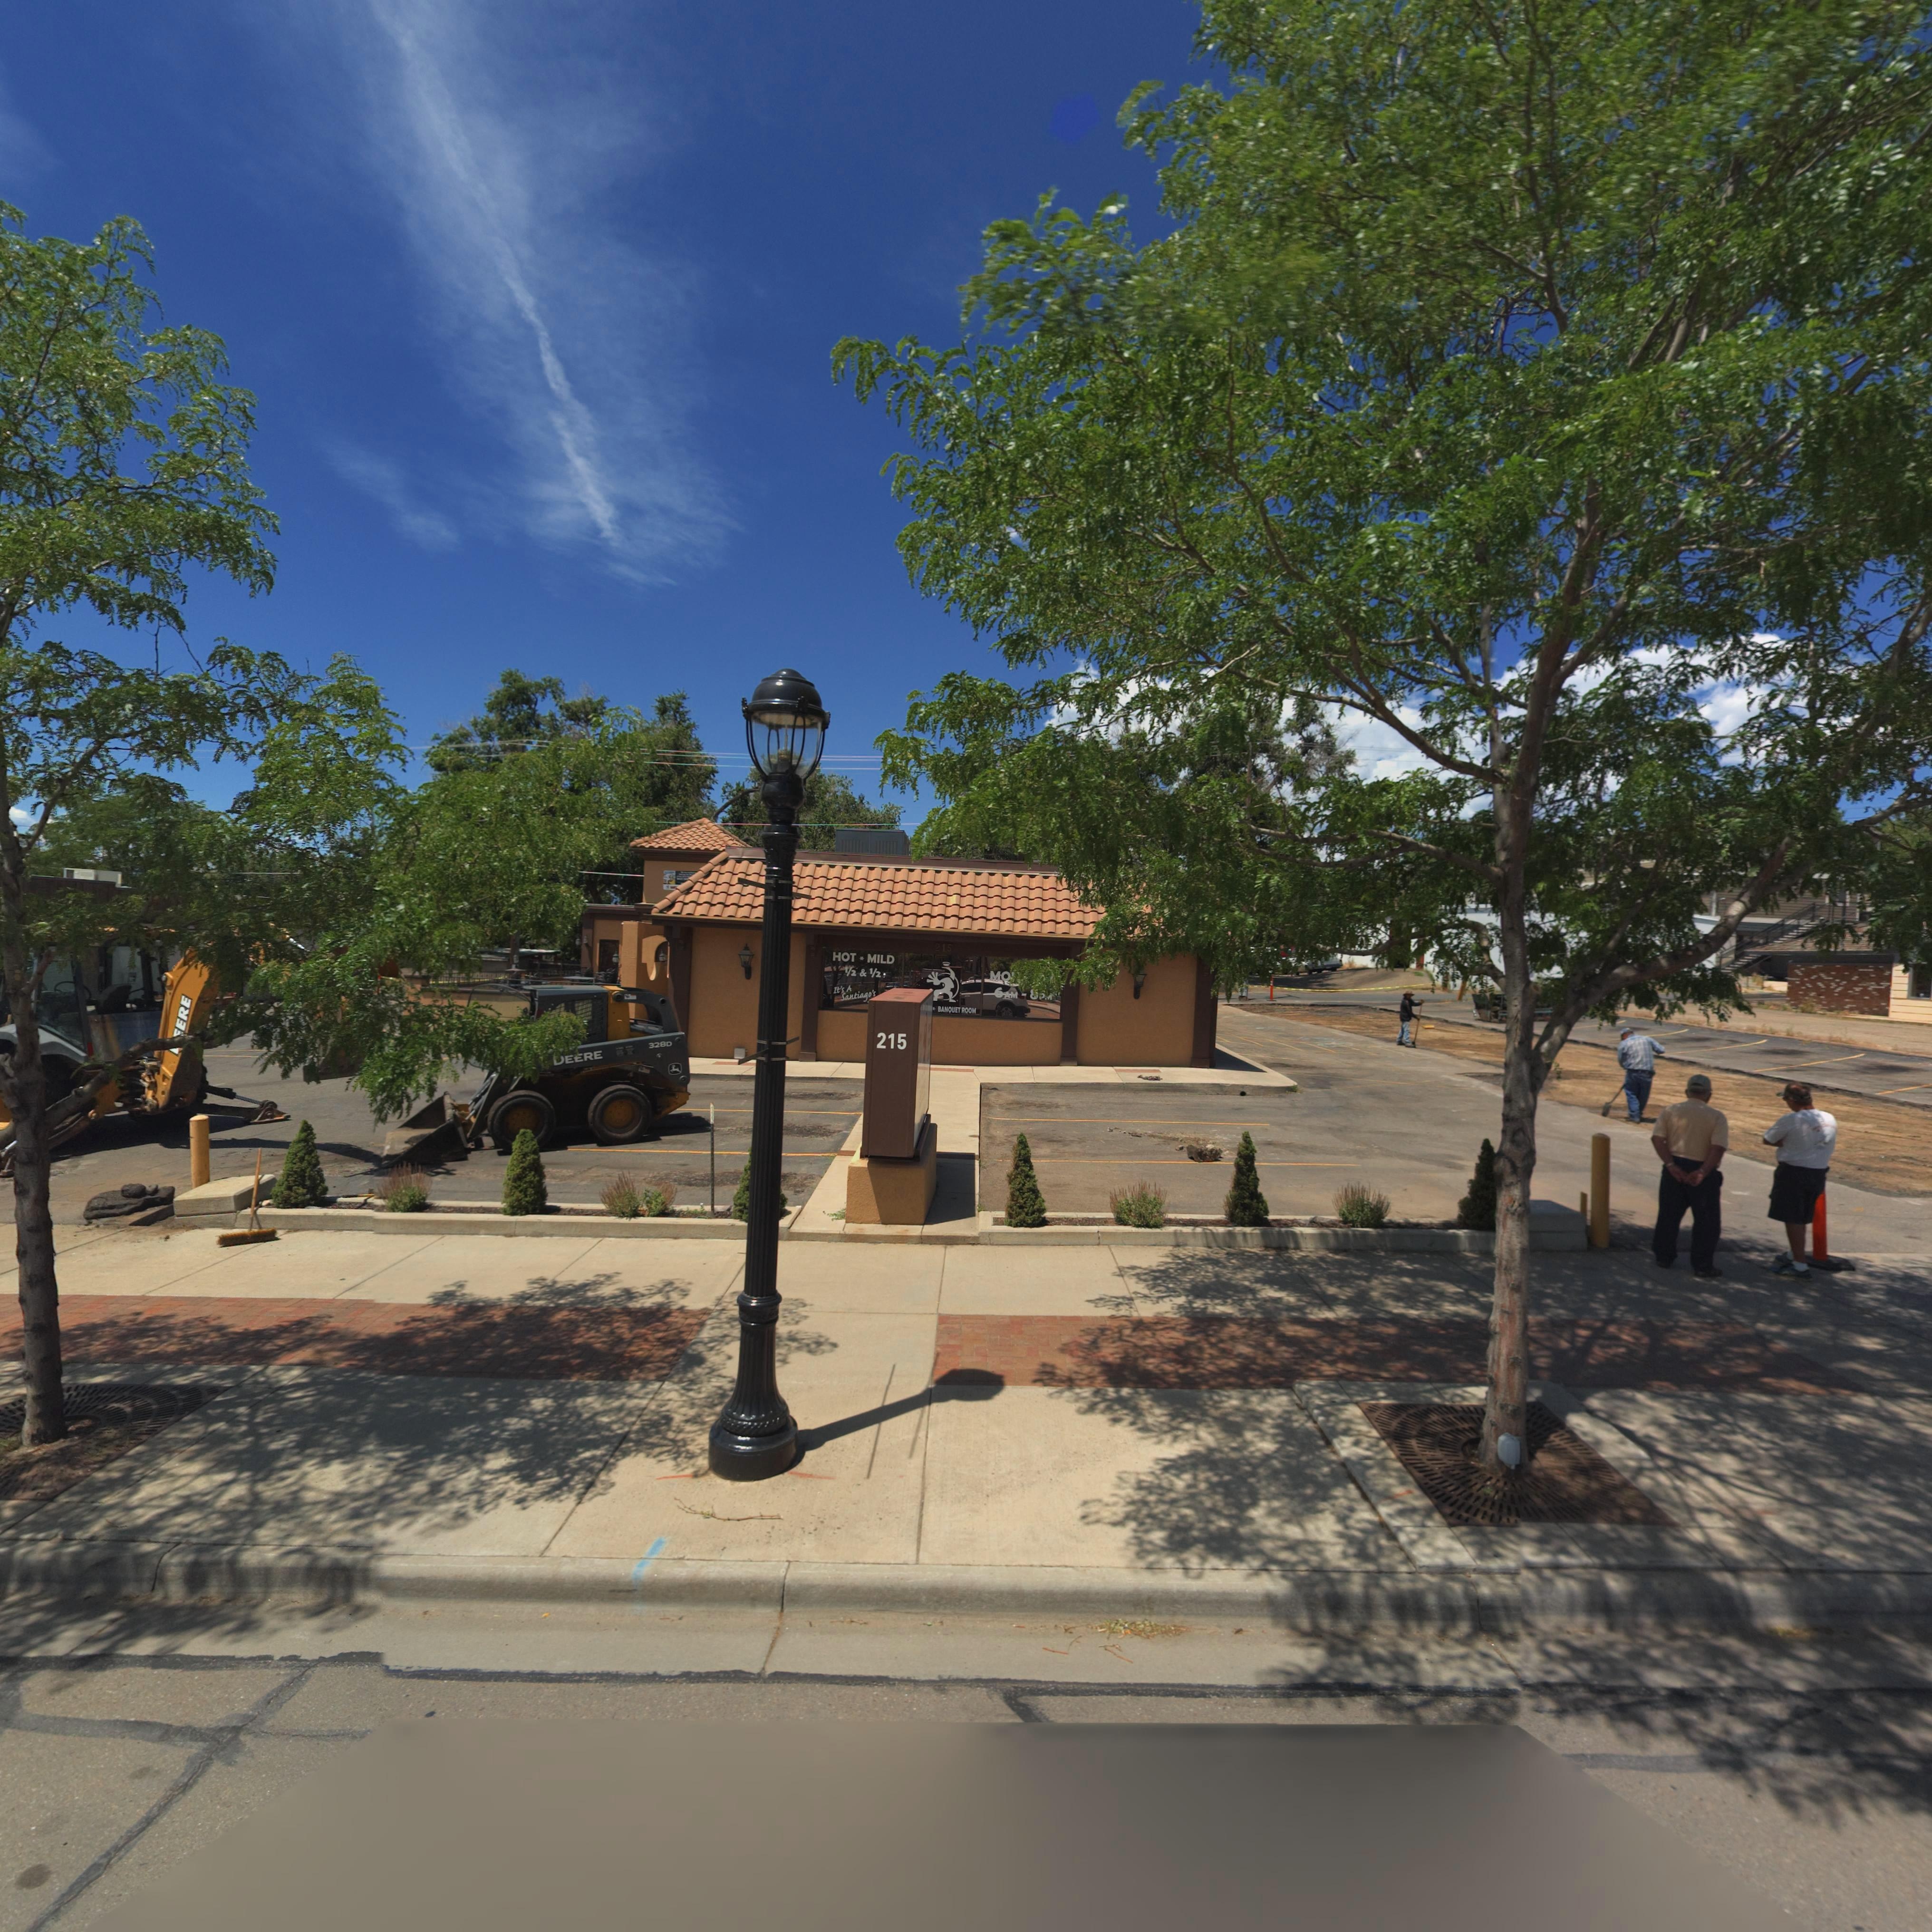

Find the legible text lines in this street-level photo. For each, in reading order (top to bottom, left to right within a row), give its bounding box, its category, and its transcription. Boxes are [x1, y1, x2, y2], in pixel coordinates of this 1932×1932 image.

[840, 989, 876, 1002] BusinessName: Santiago's
[875, 1031, 908, 1051] StreetNumber: 215